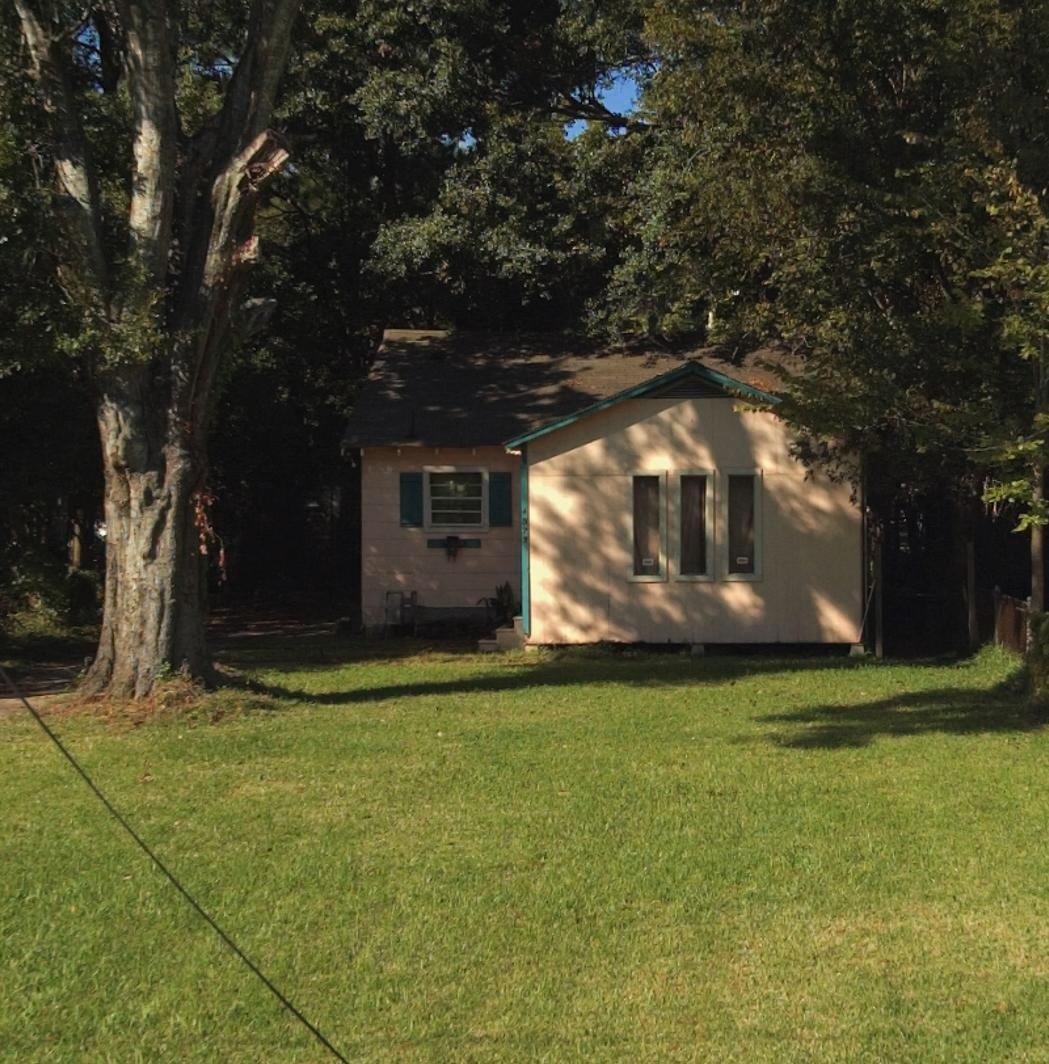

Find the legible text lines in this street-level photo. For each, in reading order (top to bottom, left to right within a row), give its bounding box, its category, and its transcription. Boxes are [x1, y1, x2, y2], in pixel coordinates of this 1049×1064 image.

[521, 506, 529, 545] StreetNumber: 4023